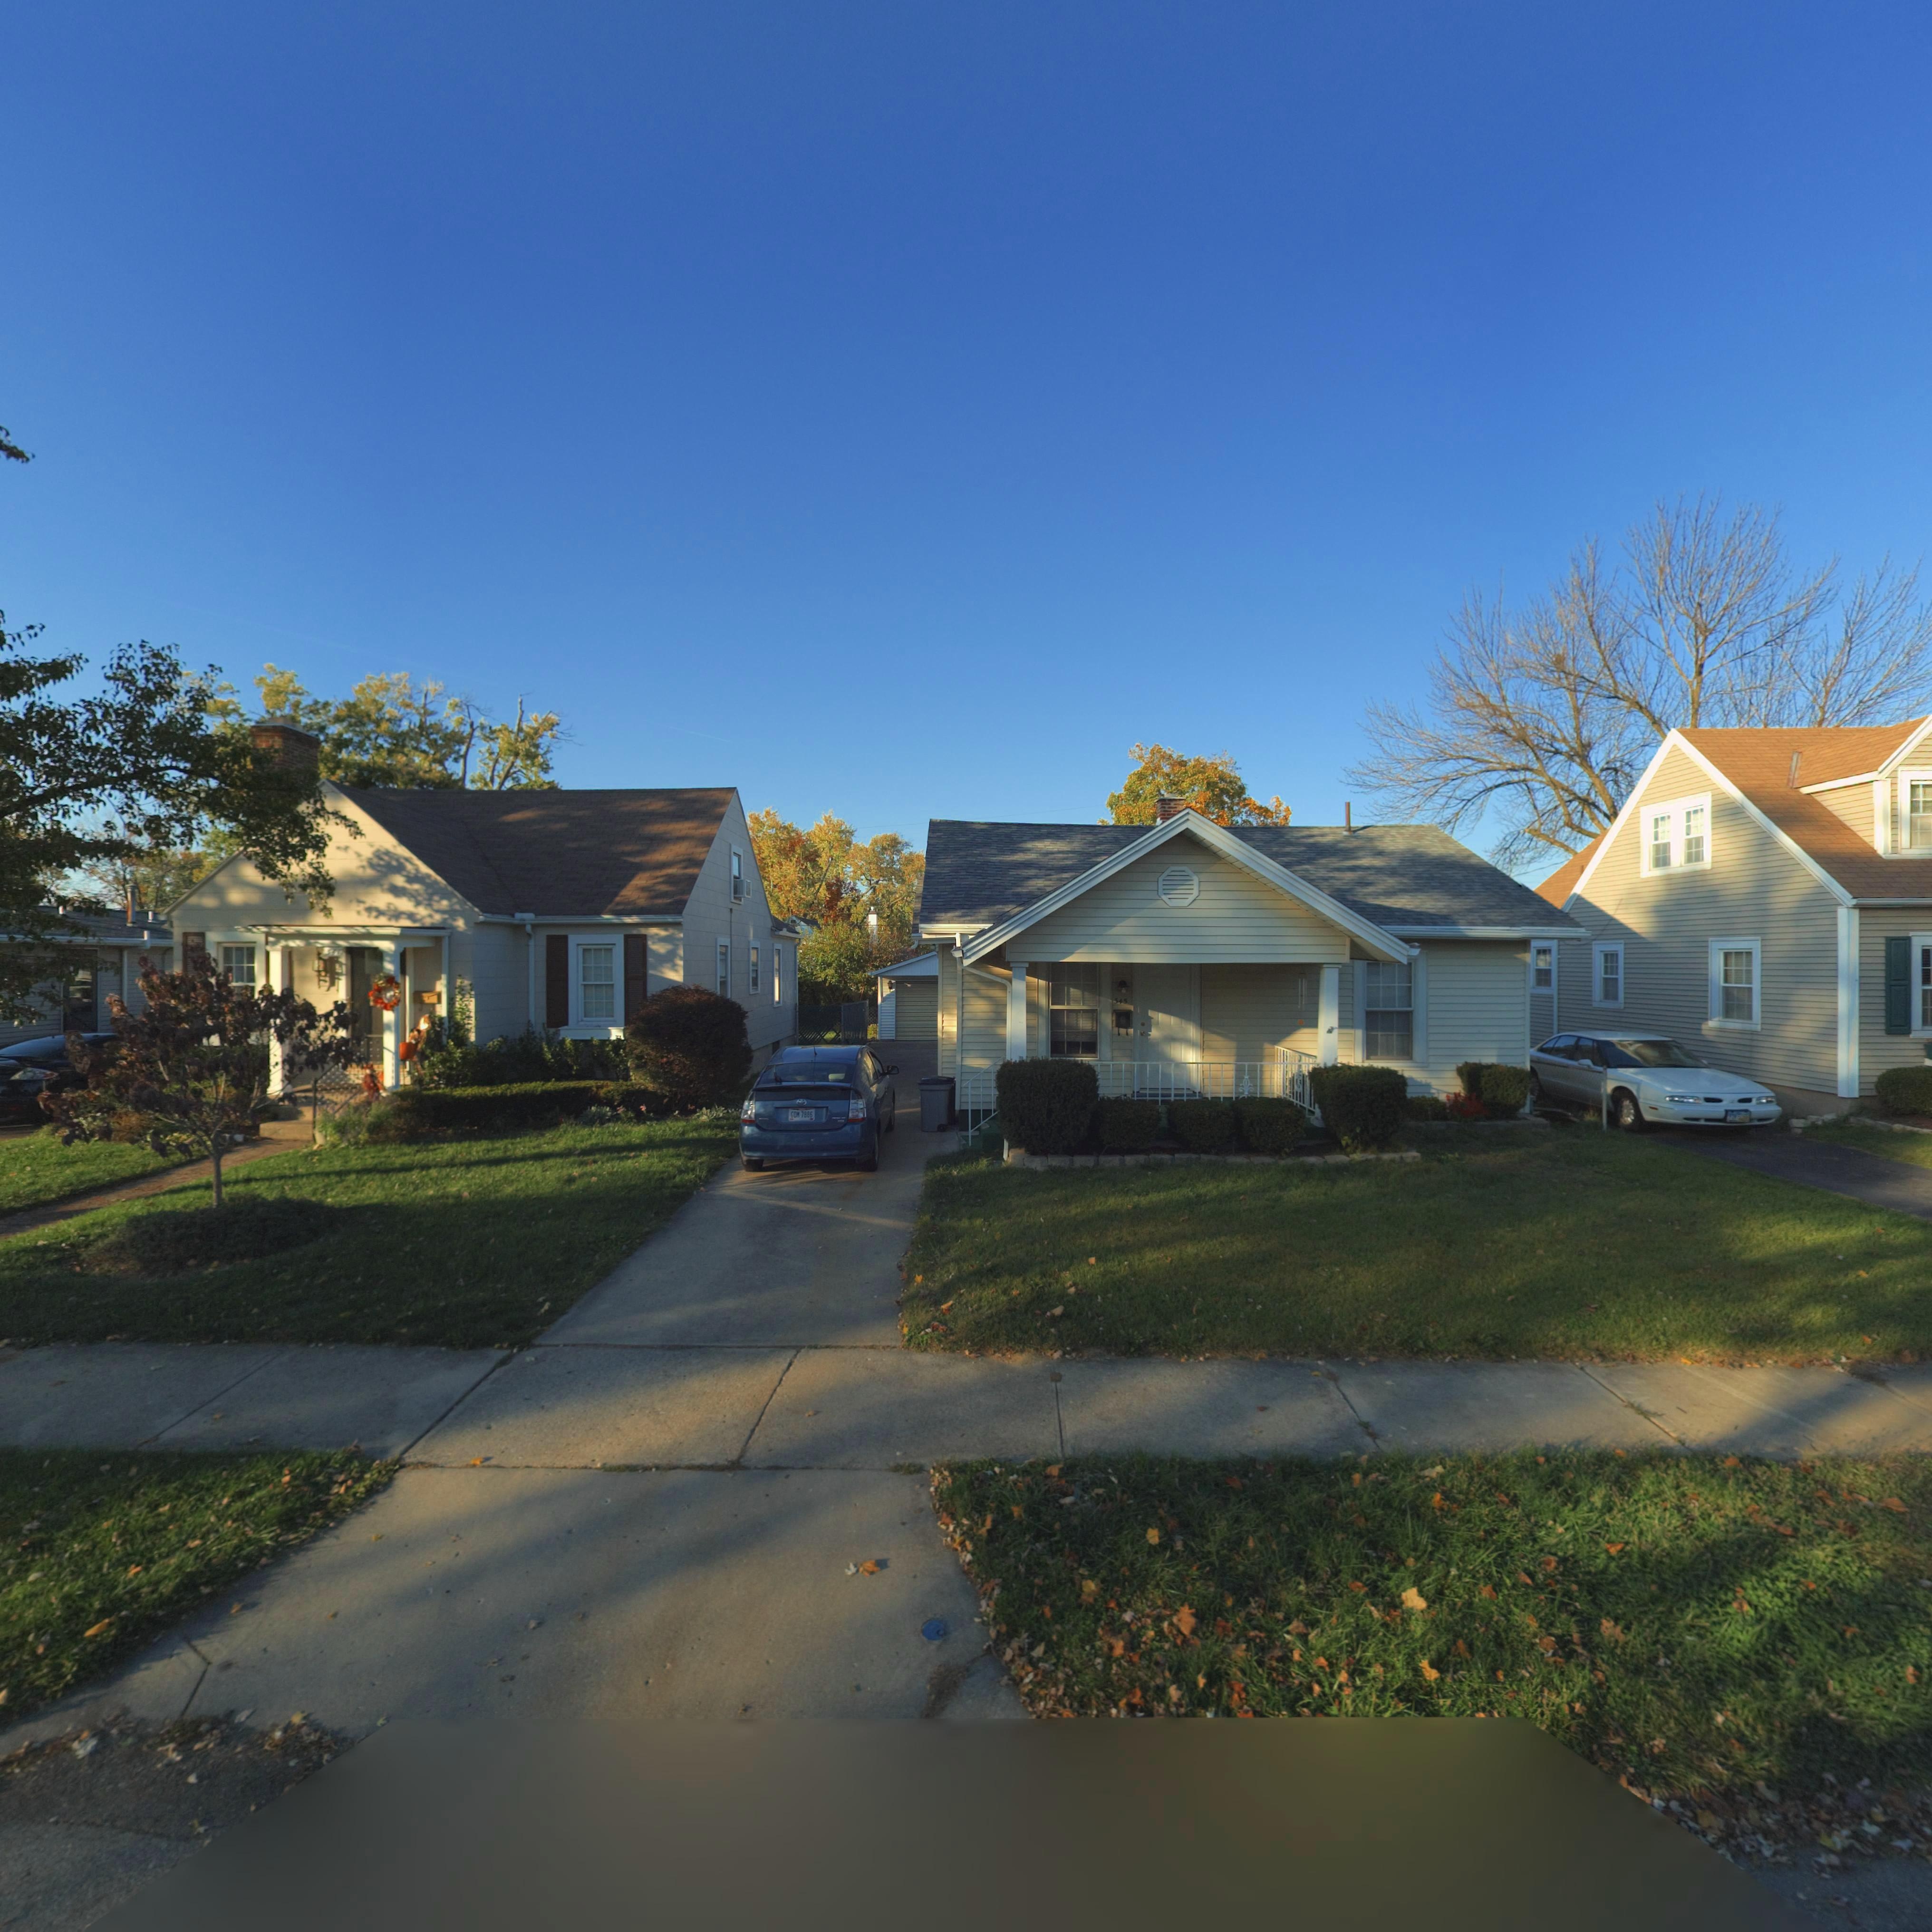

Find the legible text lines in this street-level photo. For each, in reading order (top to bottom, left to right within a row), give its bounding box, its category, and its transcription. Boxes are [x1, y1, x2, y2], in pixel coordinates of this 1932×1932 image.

[1113, 997, 1129, 1005] StreetNumber: 345